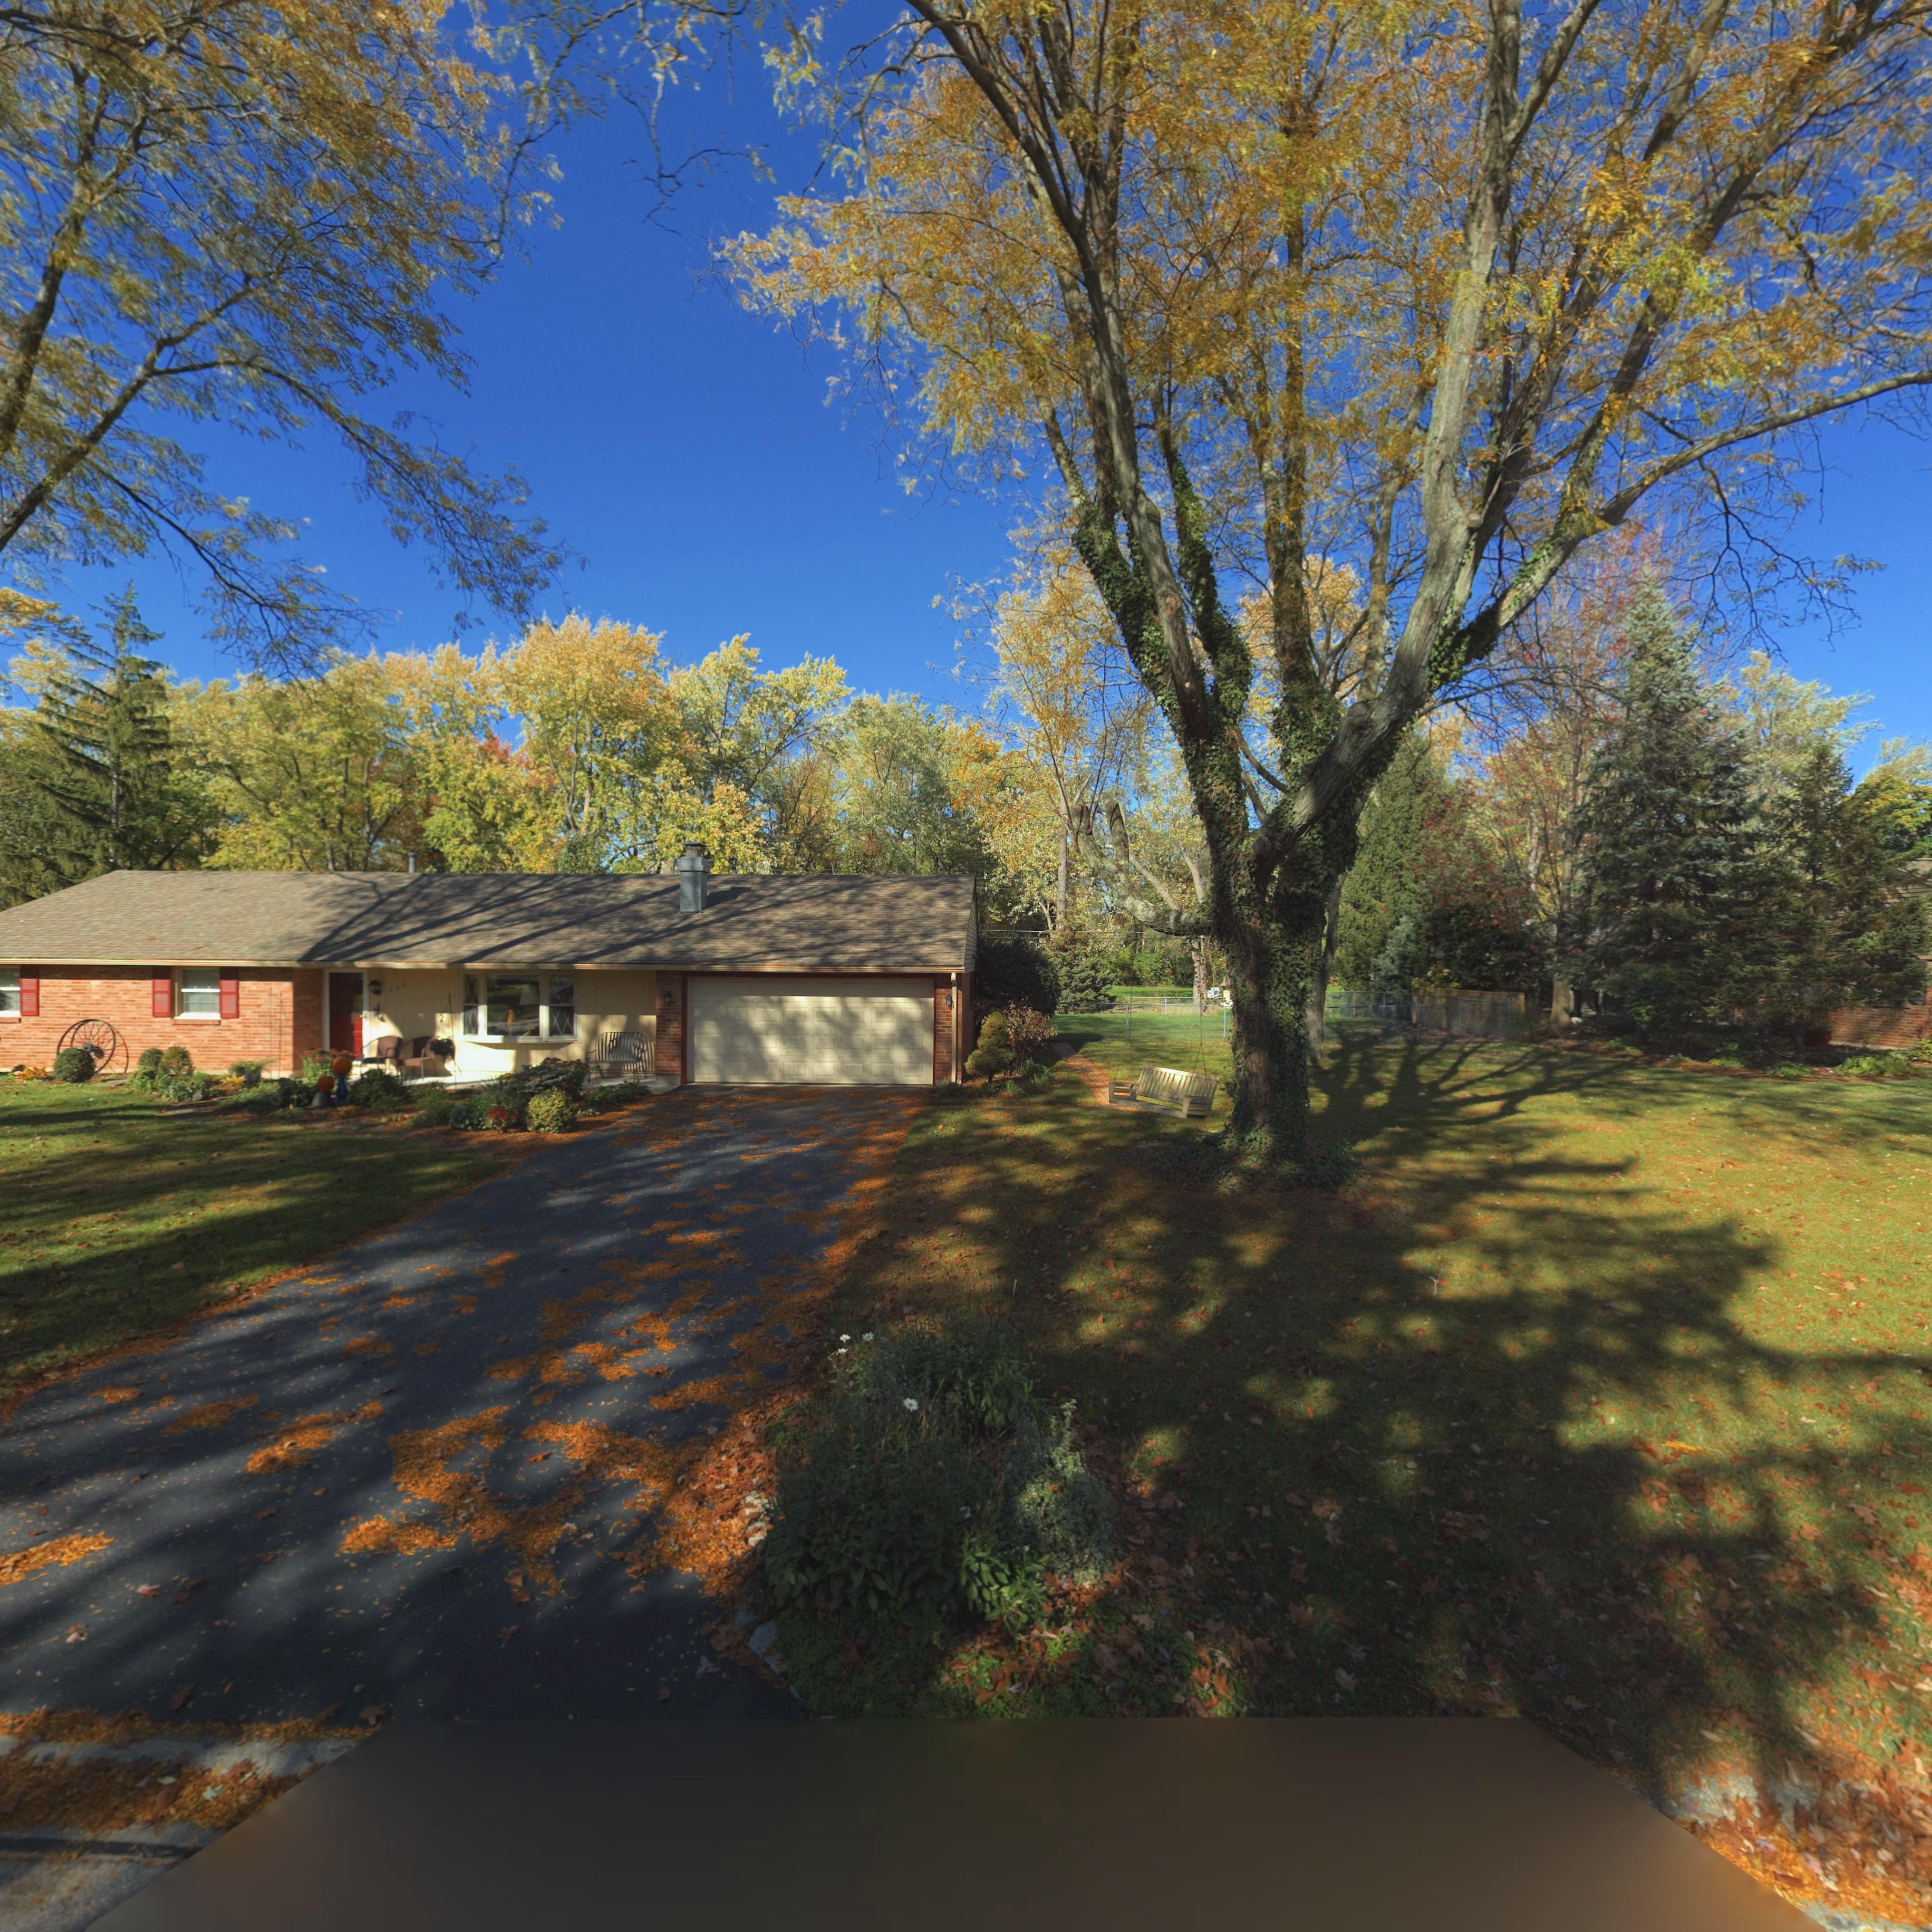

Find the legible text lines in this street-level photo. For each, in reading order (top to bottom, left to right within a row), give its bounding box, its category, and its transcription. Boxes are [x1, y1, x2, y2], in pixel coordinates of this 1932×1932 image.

[387, 981, 407, 994] StreetNumber: *29